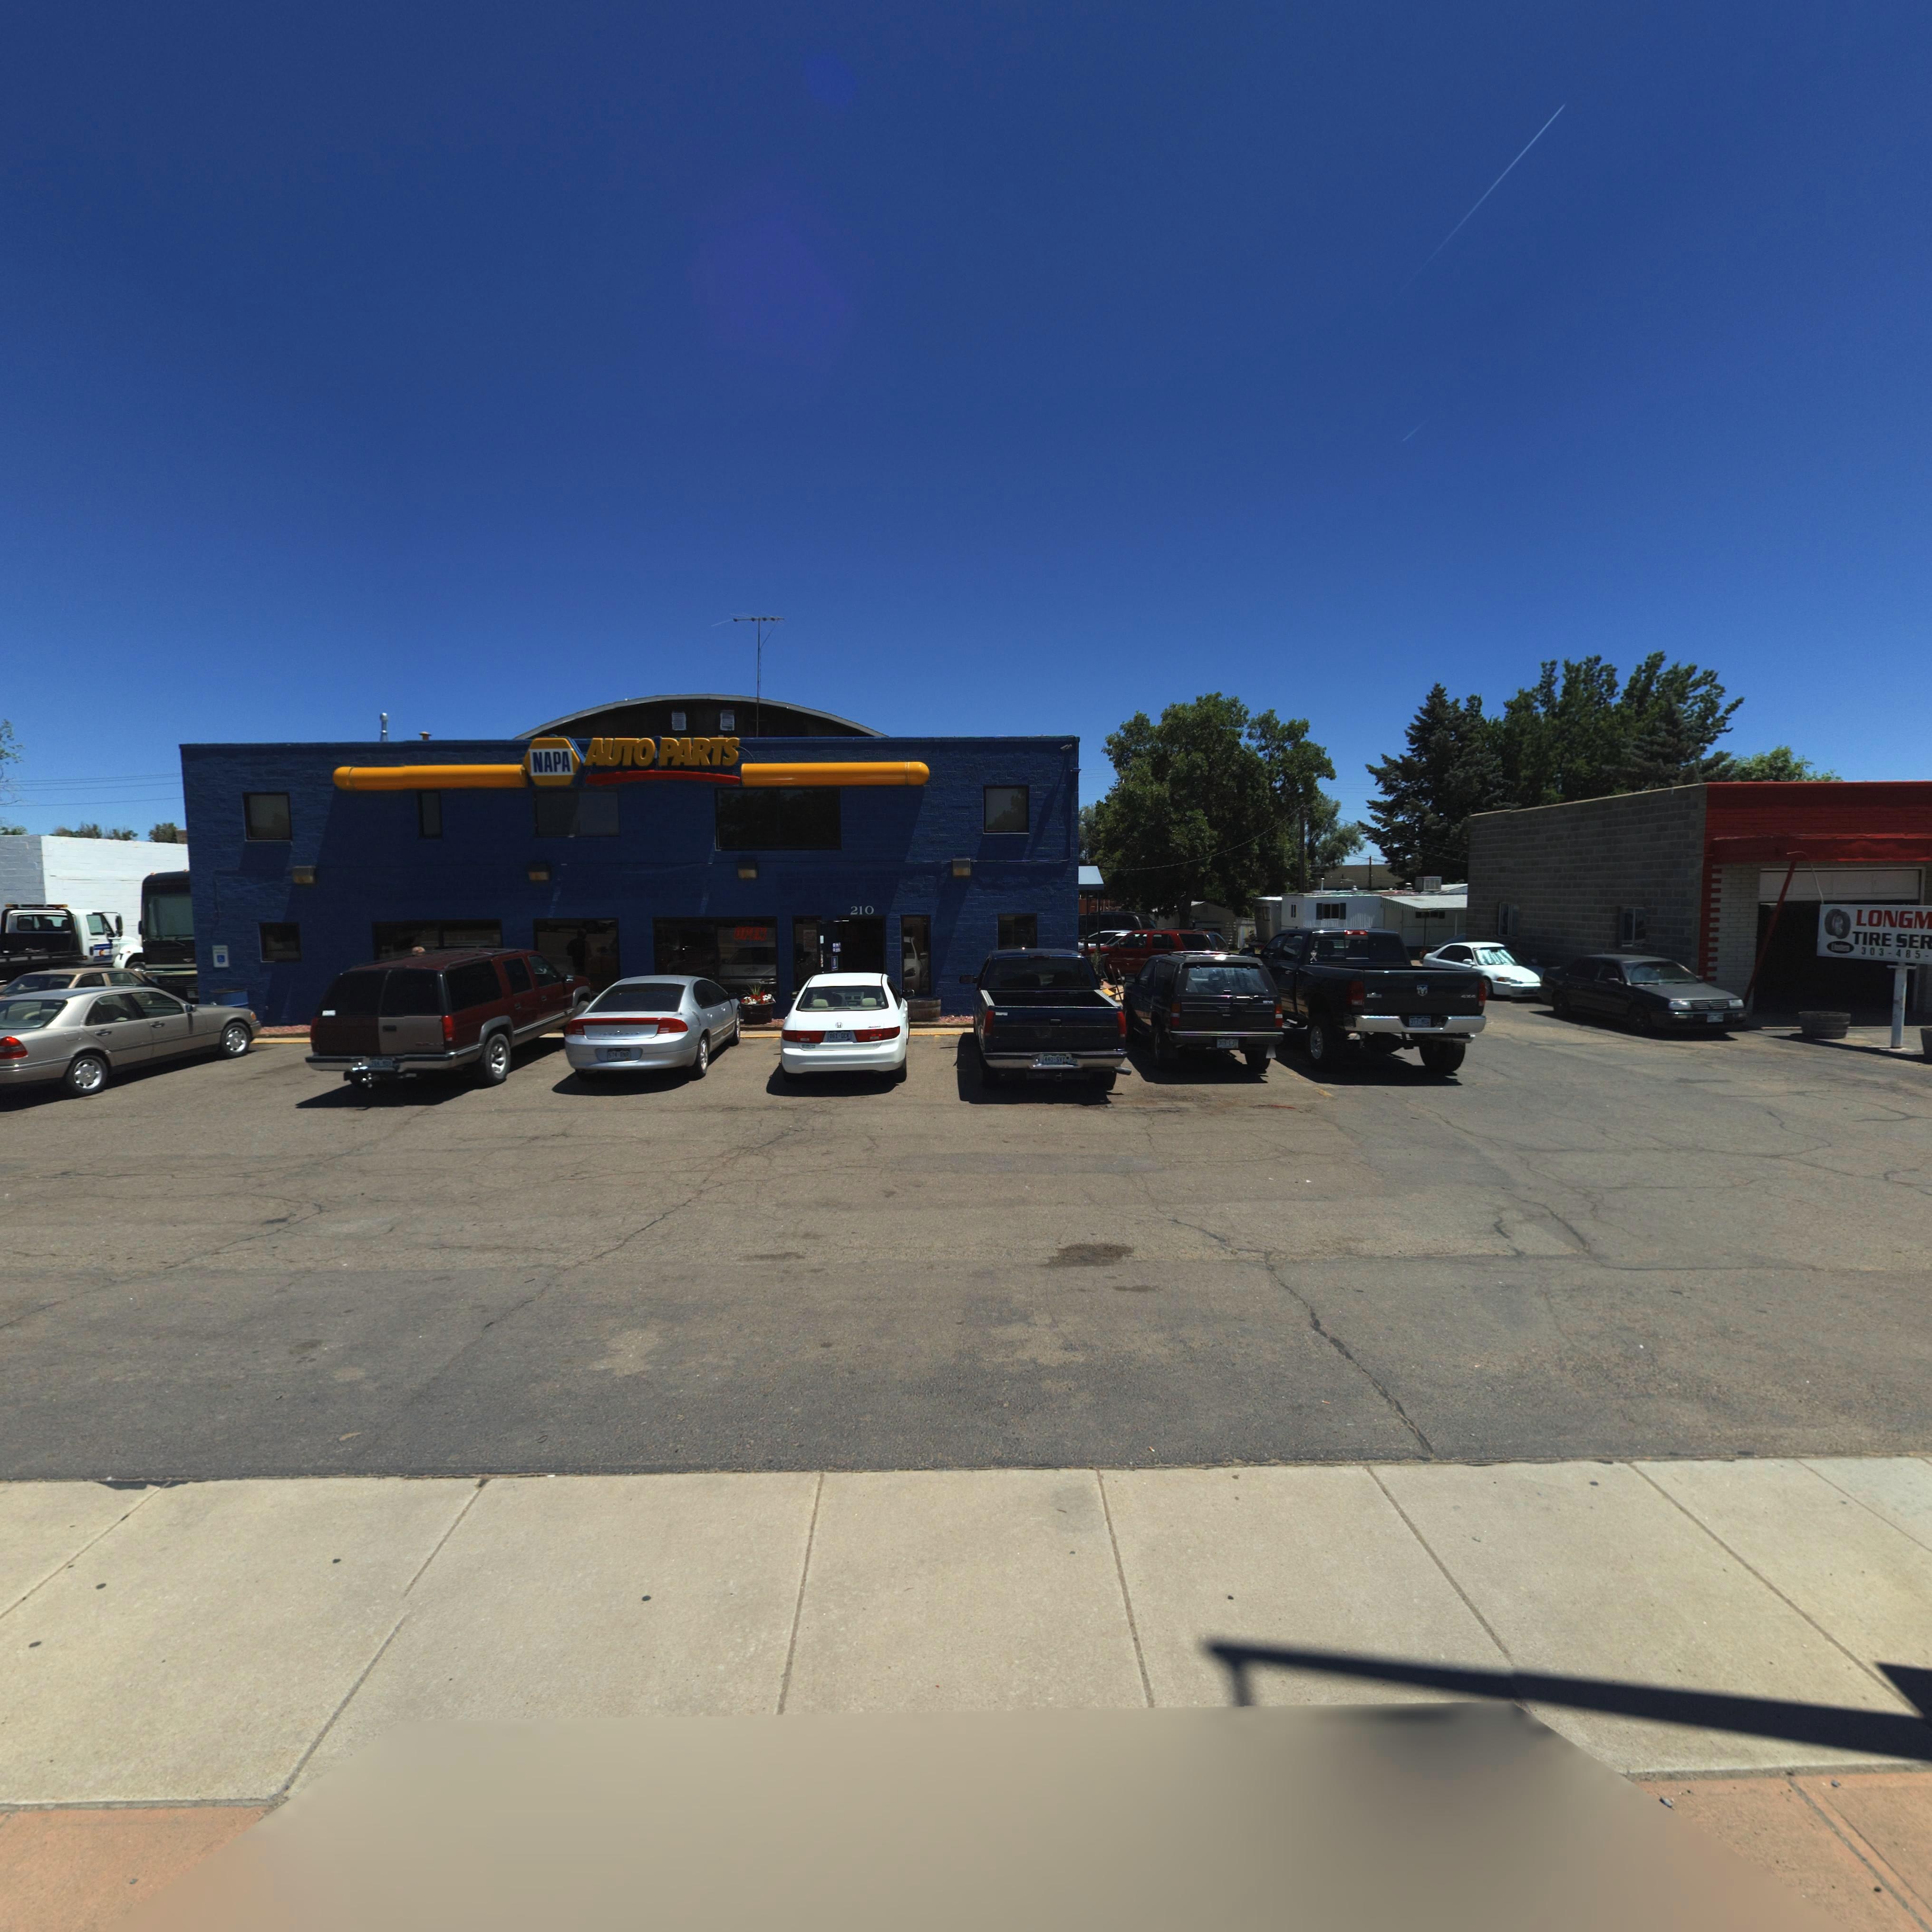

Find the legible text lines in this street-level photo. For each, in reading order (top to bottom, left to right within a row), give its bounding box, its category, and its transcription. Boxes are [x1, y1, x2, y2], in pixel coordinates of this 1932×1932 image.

[582, 737, 739, 766] BusinessName: AUTO PARTS
[532, 751, 571, 773] BusinessName: NAPA
[850, 905, 874, 915] StreetNumber: 210
[1856, 909, 1913, 928] BusinessName: LONG
[1851, 931, 1919, 948] BusinessName: TIRE SE